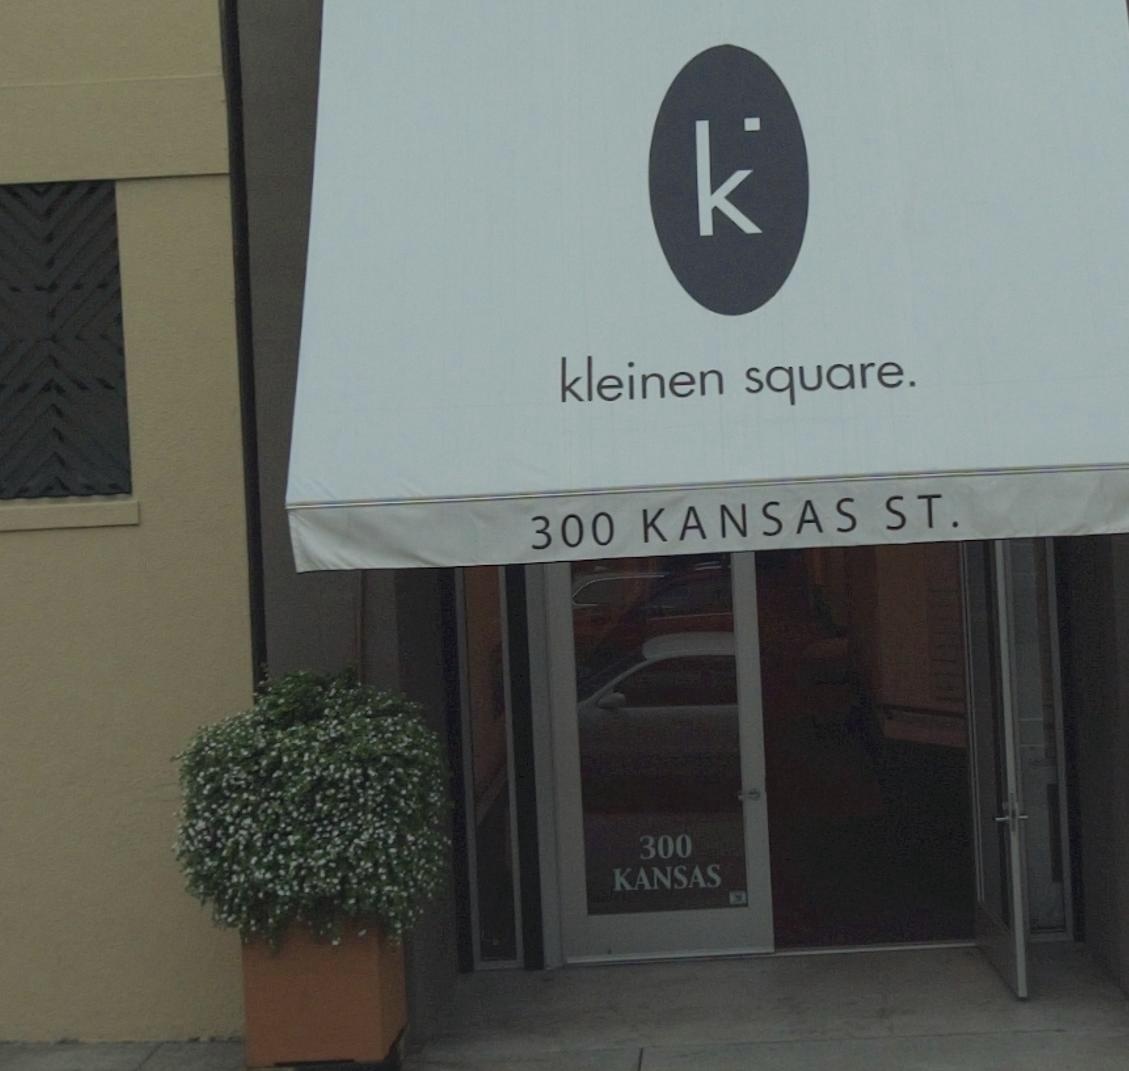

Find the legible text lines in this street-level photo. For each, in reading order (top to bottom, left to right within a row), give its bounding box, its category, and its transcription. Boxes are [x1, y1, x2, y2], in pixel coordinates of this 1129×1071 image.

[692, 116, 767, 240] None: k
[560, 354, 918, 408] BusinessName: kleinen square.
[528, 509, 617, 552] StreetNumber: 300
[638, 492, 963, 545] StreetName: KANSAS ST.
[638, 833, 693, 861] StreetNumber: 300
[611, 862, 724, 893] StreetName: KANSAS